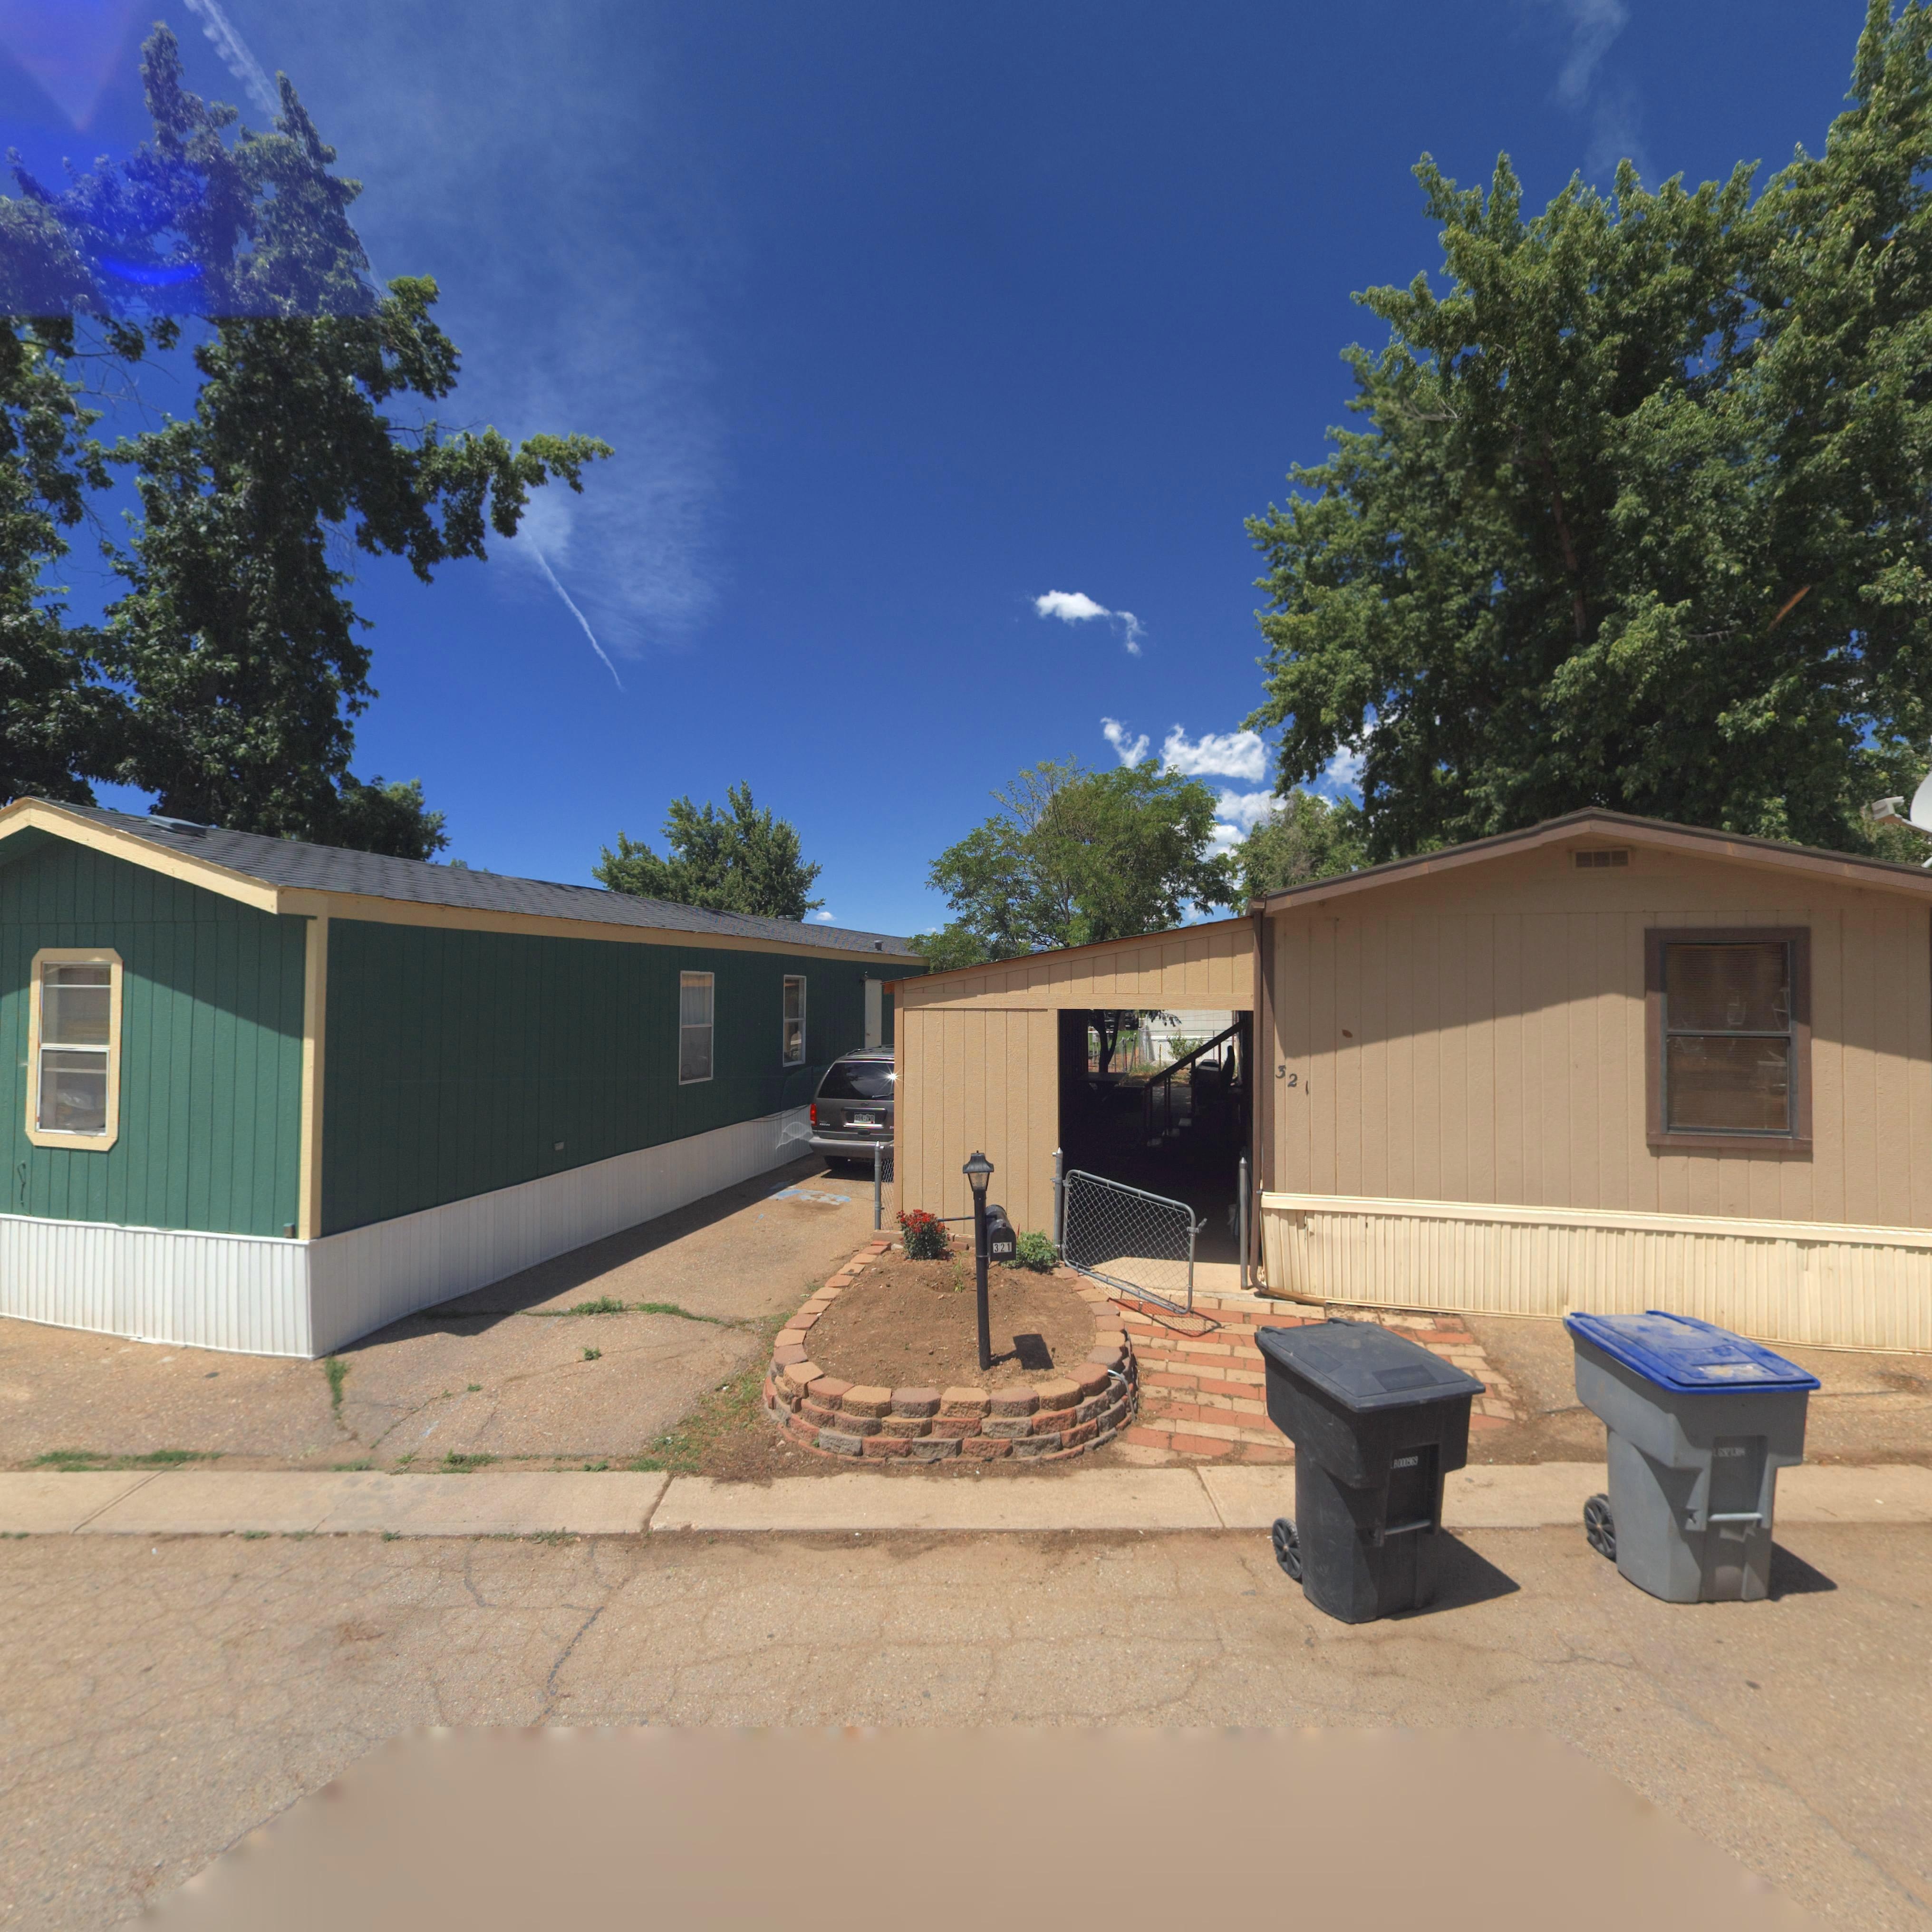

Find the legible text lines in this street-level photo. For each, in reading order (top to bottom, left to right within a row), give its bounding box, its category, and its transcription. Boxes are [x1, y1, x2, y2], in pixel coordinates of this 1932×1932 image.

[1274, 1063, 1310, 1096] StreetNumber: 321
[993, 1242, 1011, 1252] StreetNumber: 321